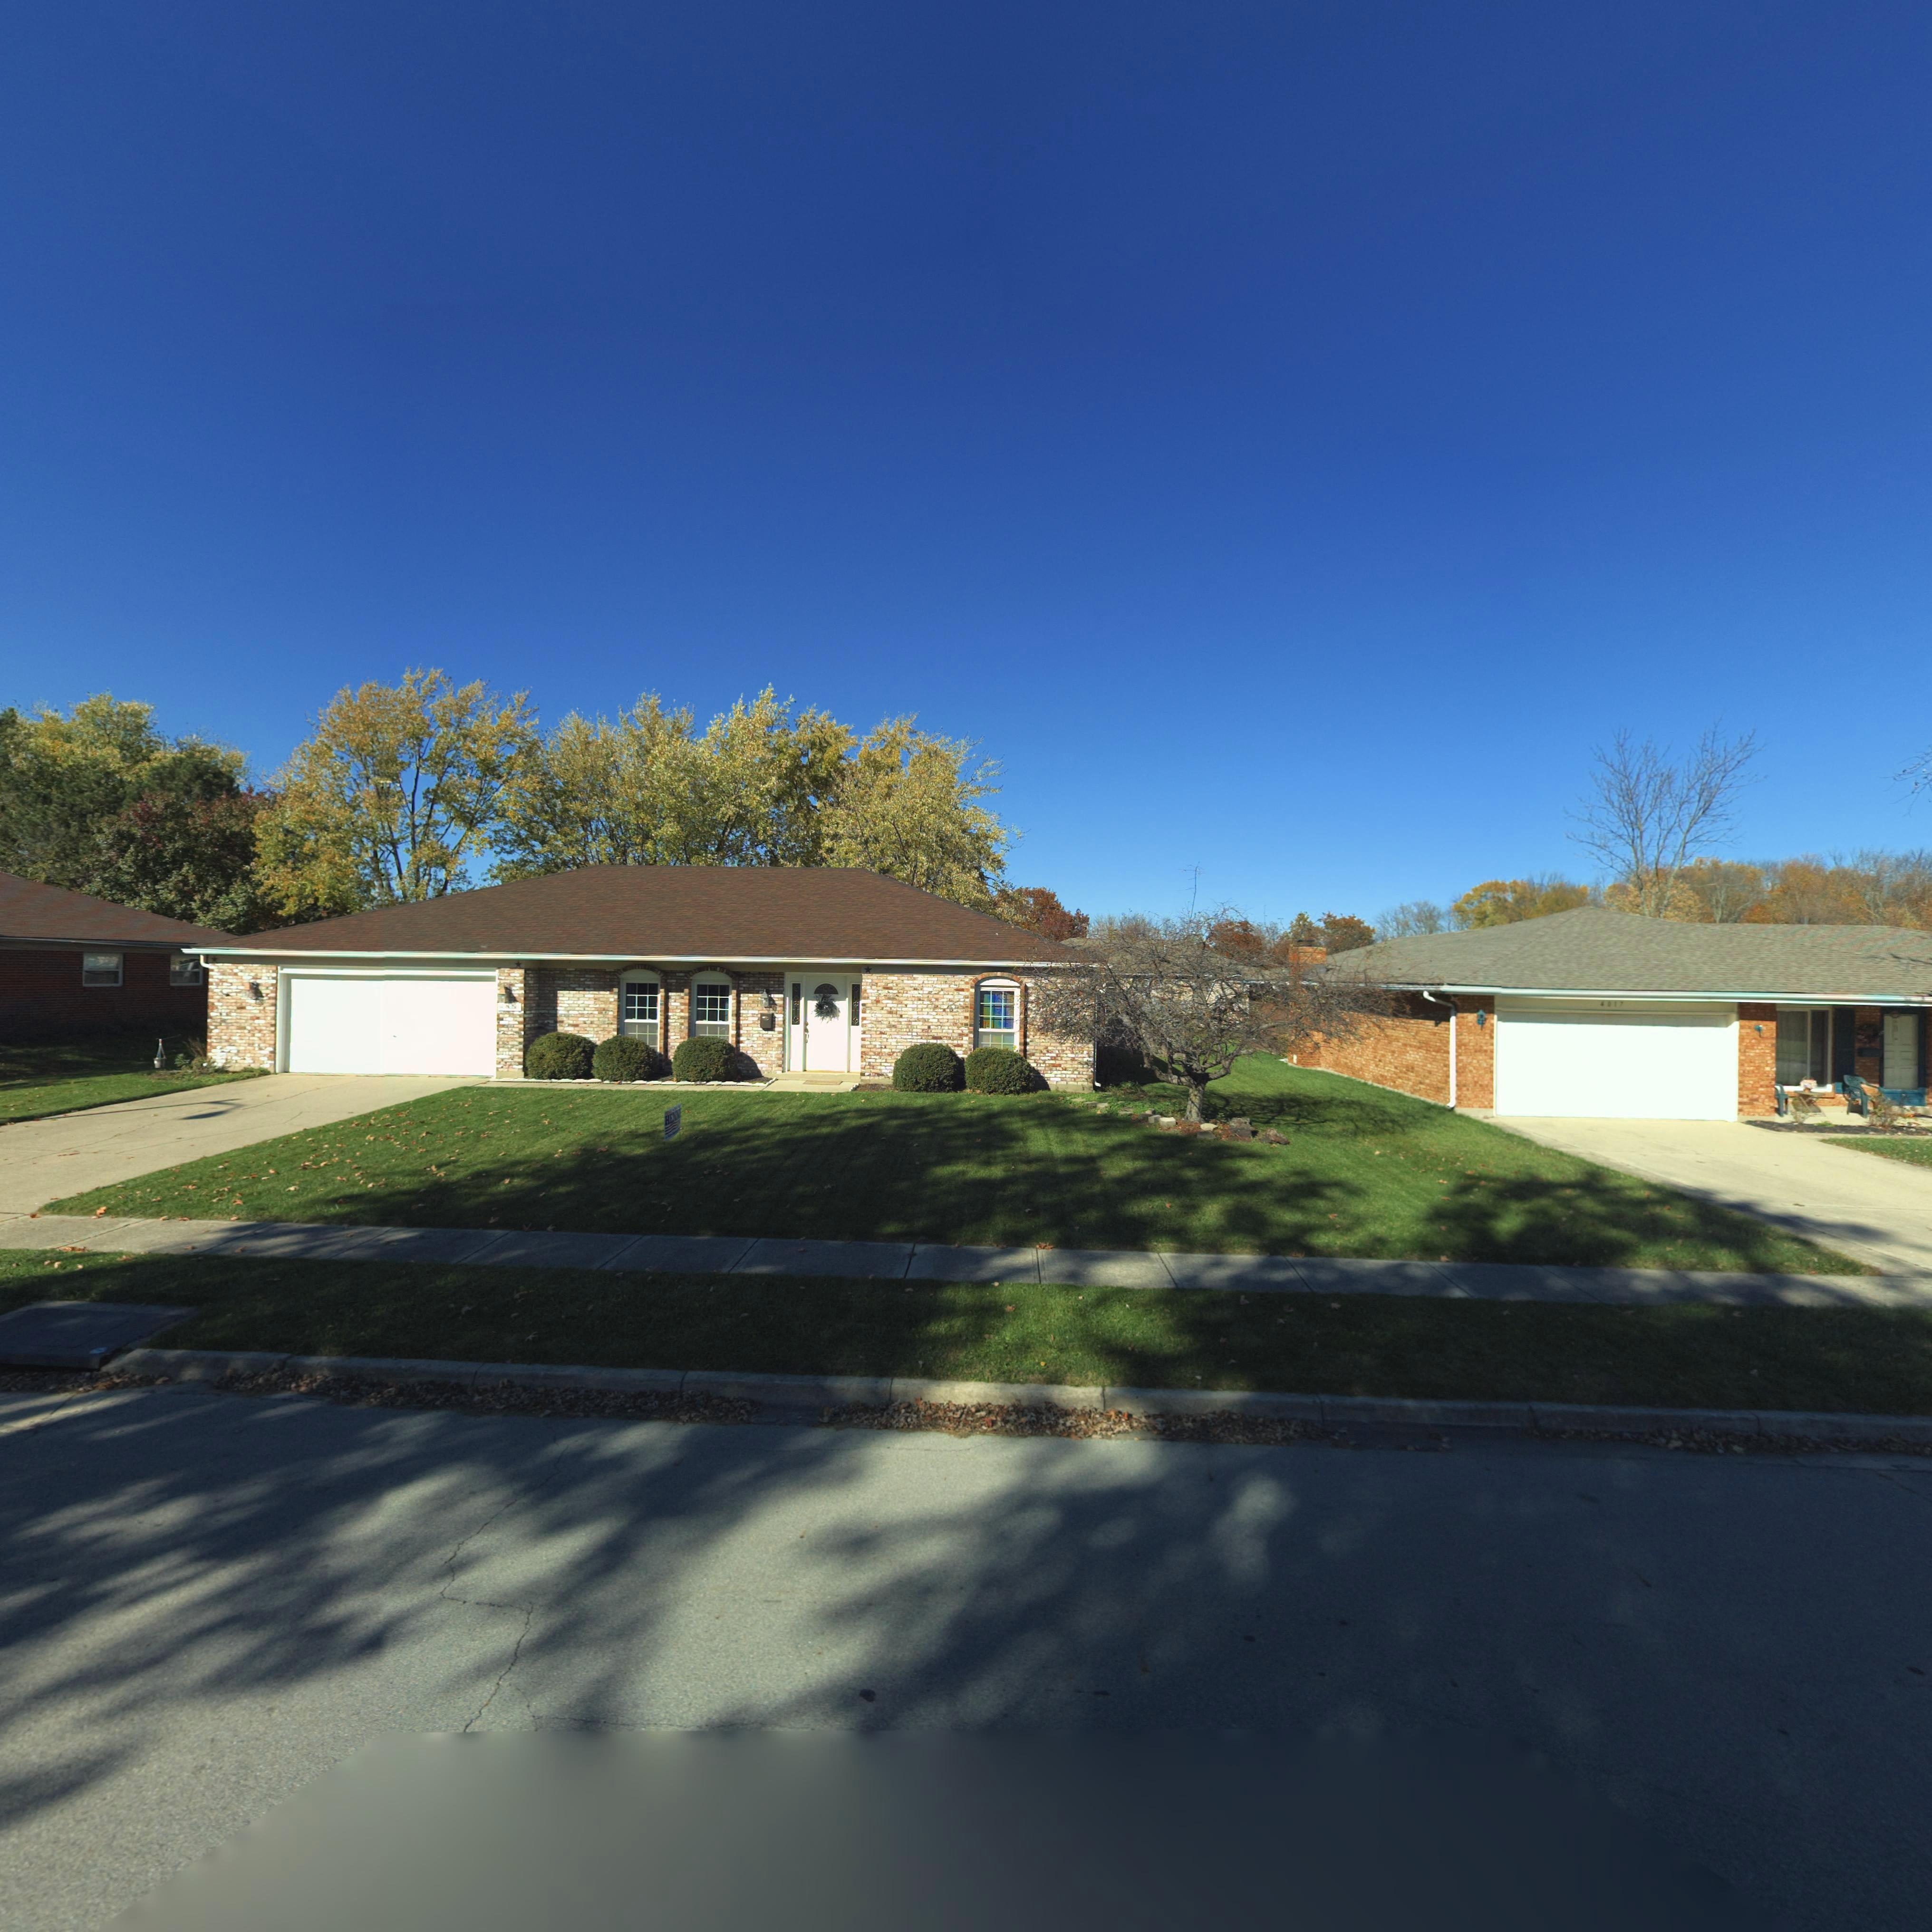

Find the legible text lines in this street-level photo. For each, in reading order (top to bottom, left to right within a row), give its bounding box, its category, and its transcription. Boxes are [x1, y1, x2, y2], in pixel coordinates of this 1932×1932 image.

[511, 1004, 516, 1009] StreetNumber: 5
[1599, 1001, 1623, 1007] StreetNumber: 4017